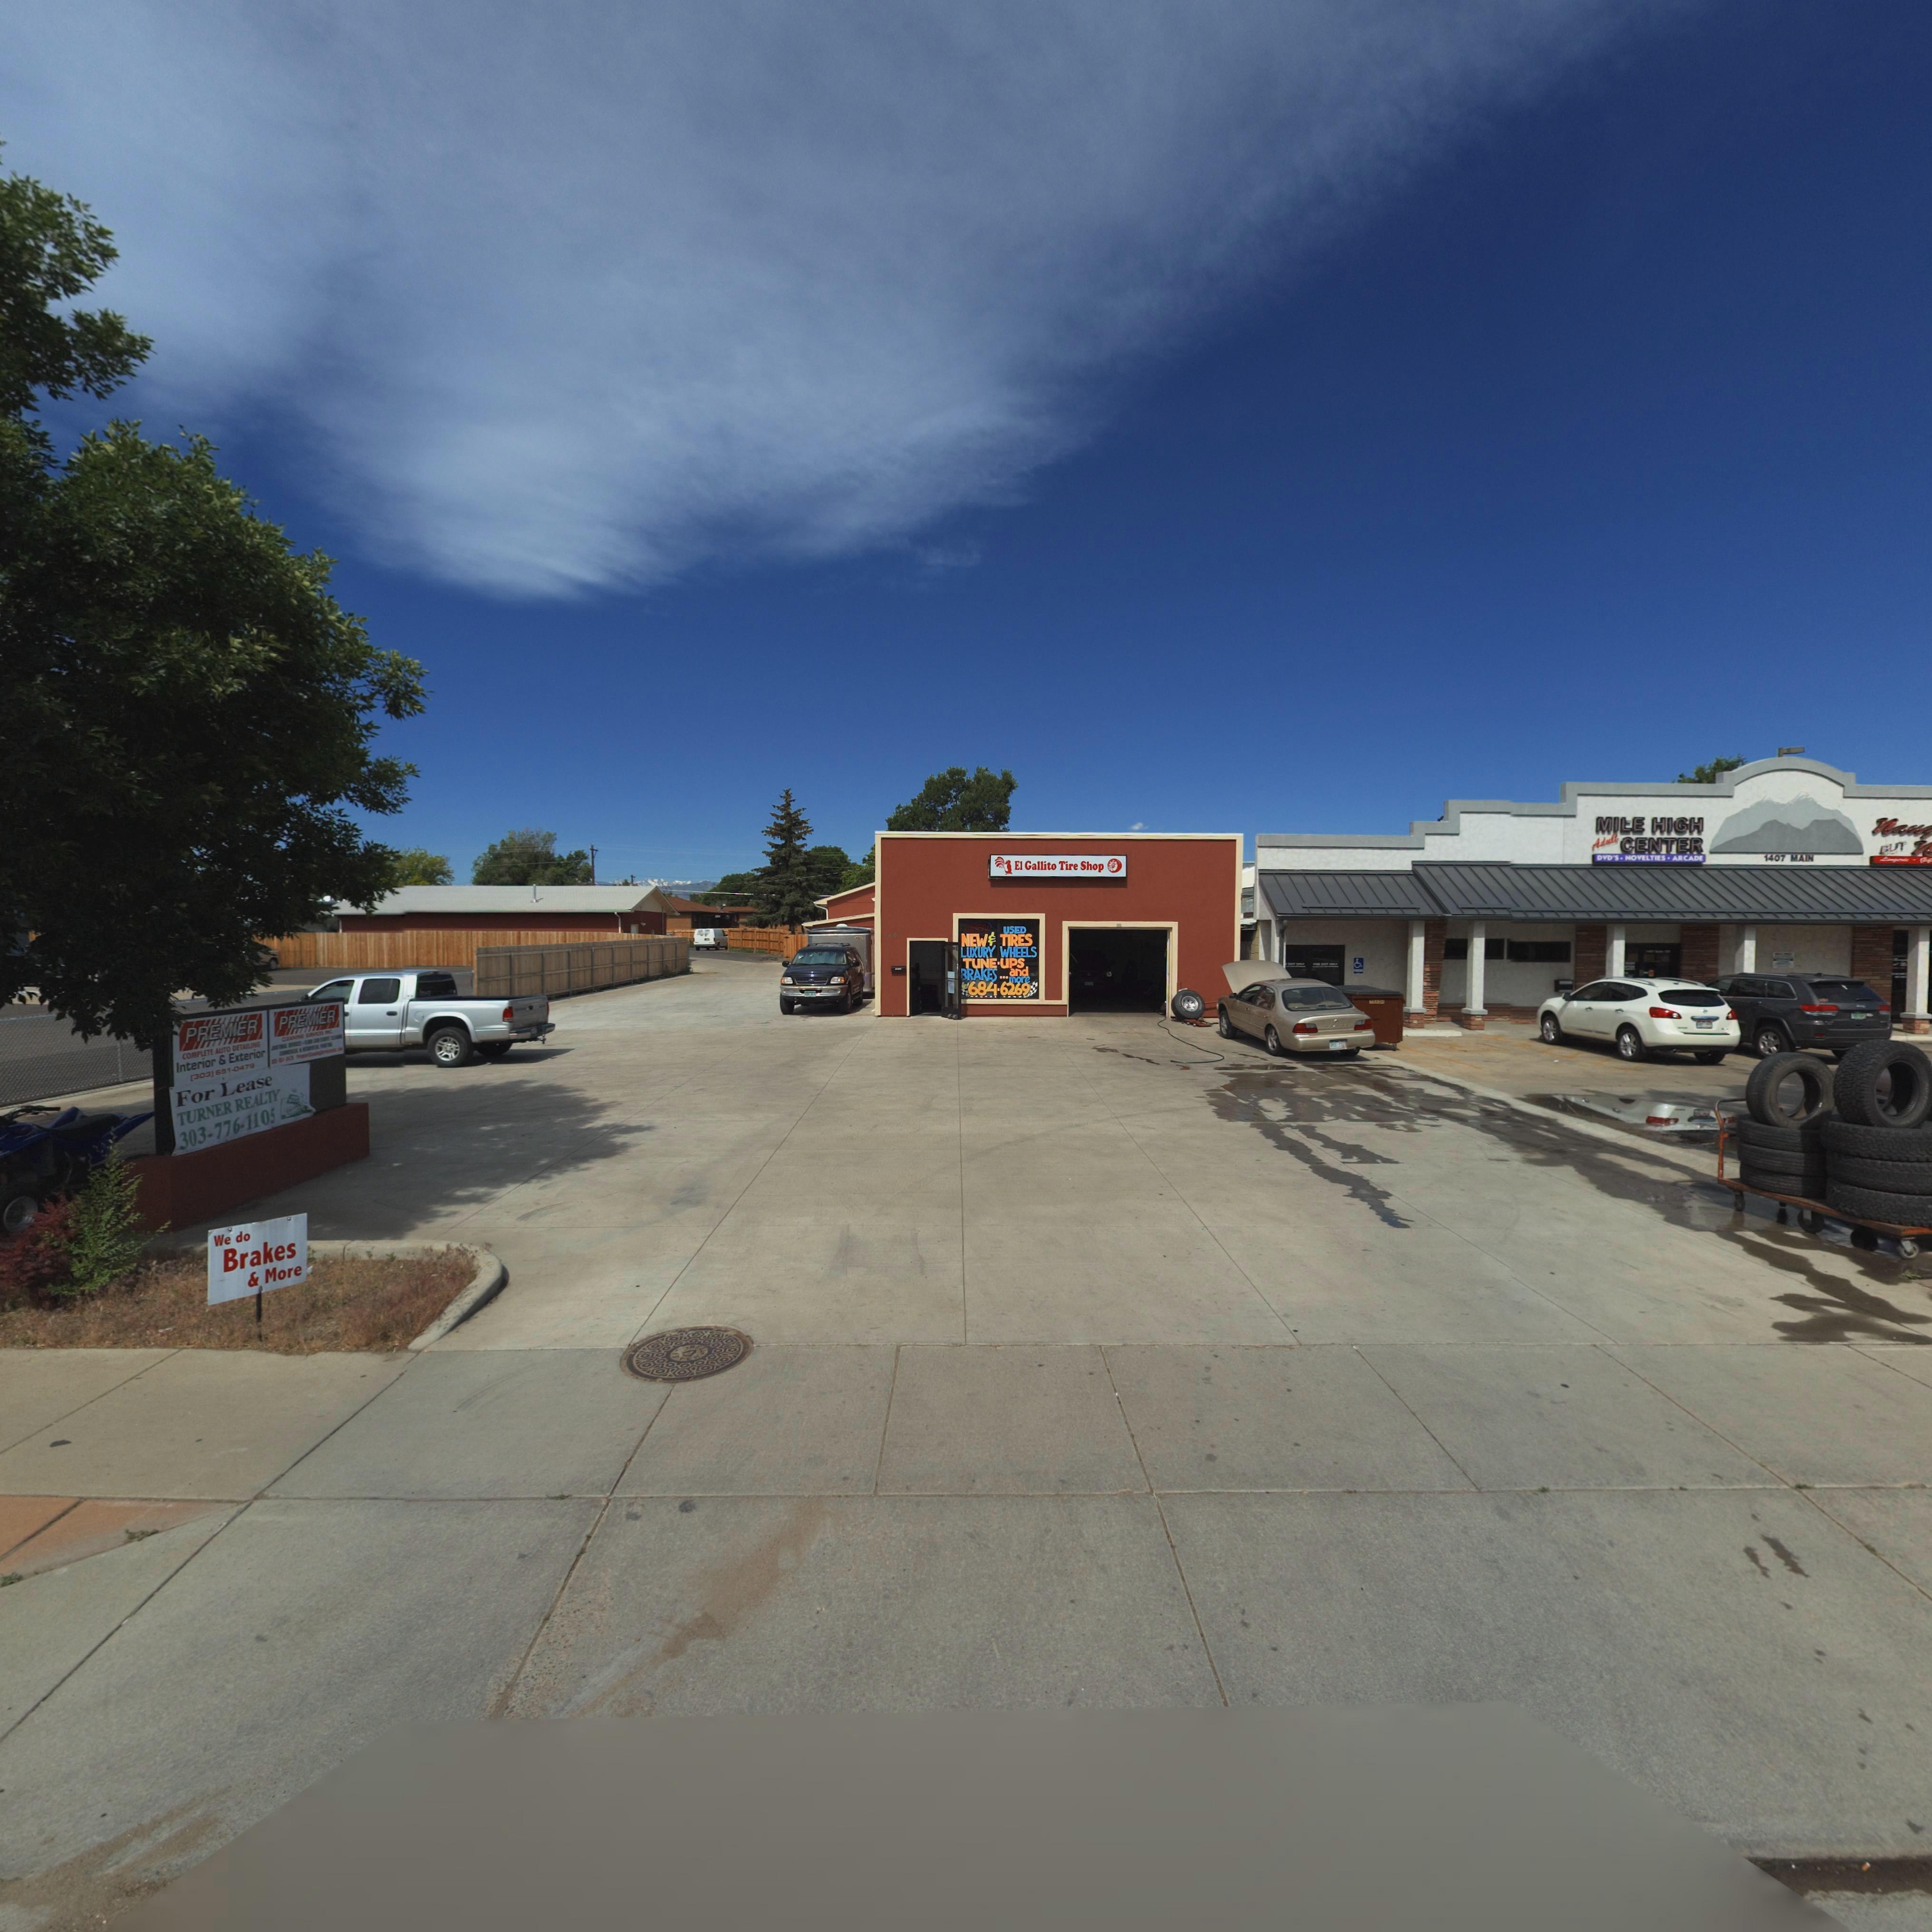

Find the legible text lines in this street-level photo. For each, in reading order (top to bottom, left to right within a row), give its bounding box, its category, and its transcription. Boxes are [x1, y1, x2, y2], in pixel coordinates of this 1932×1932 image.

[1595, 816, 1704, 832] BusinessName: MILE HIGH
[1871, 816, 1925, 835] BusinessName: Nau
[1591, 833, 1619, 850] BusinessName: Adult
[1619, 836, 1704, 854] BusinessName: CENTER
[1879, 840, 1906, 855] BusinessName: BUT
[1763, 853, 1786, 862] StreetNumber: 1407
[1790, 854, 1814, 862] StreetName: MAIN
[1014, 860, 1105, 873] BusinessName: El Gallito Tire Shop
[882, 931, 902, 939] StreetNumber: *40*
[184, 1009, 336, 1044] BusinessName: PREMIER PREMIER